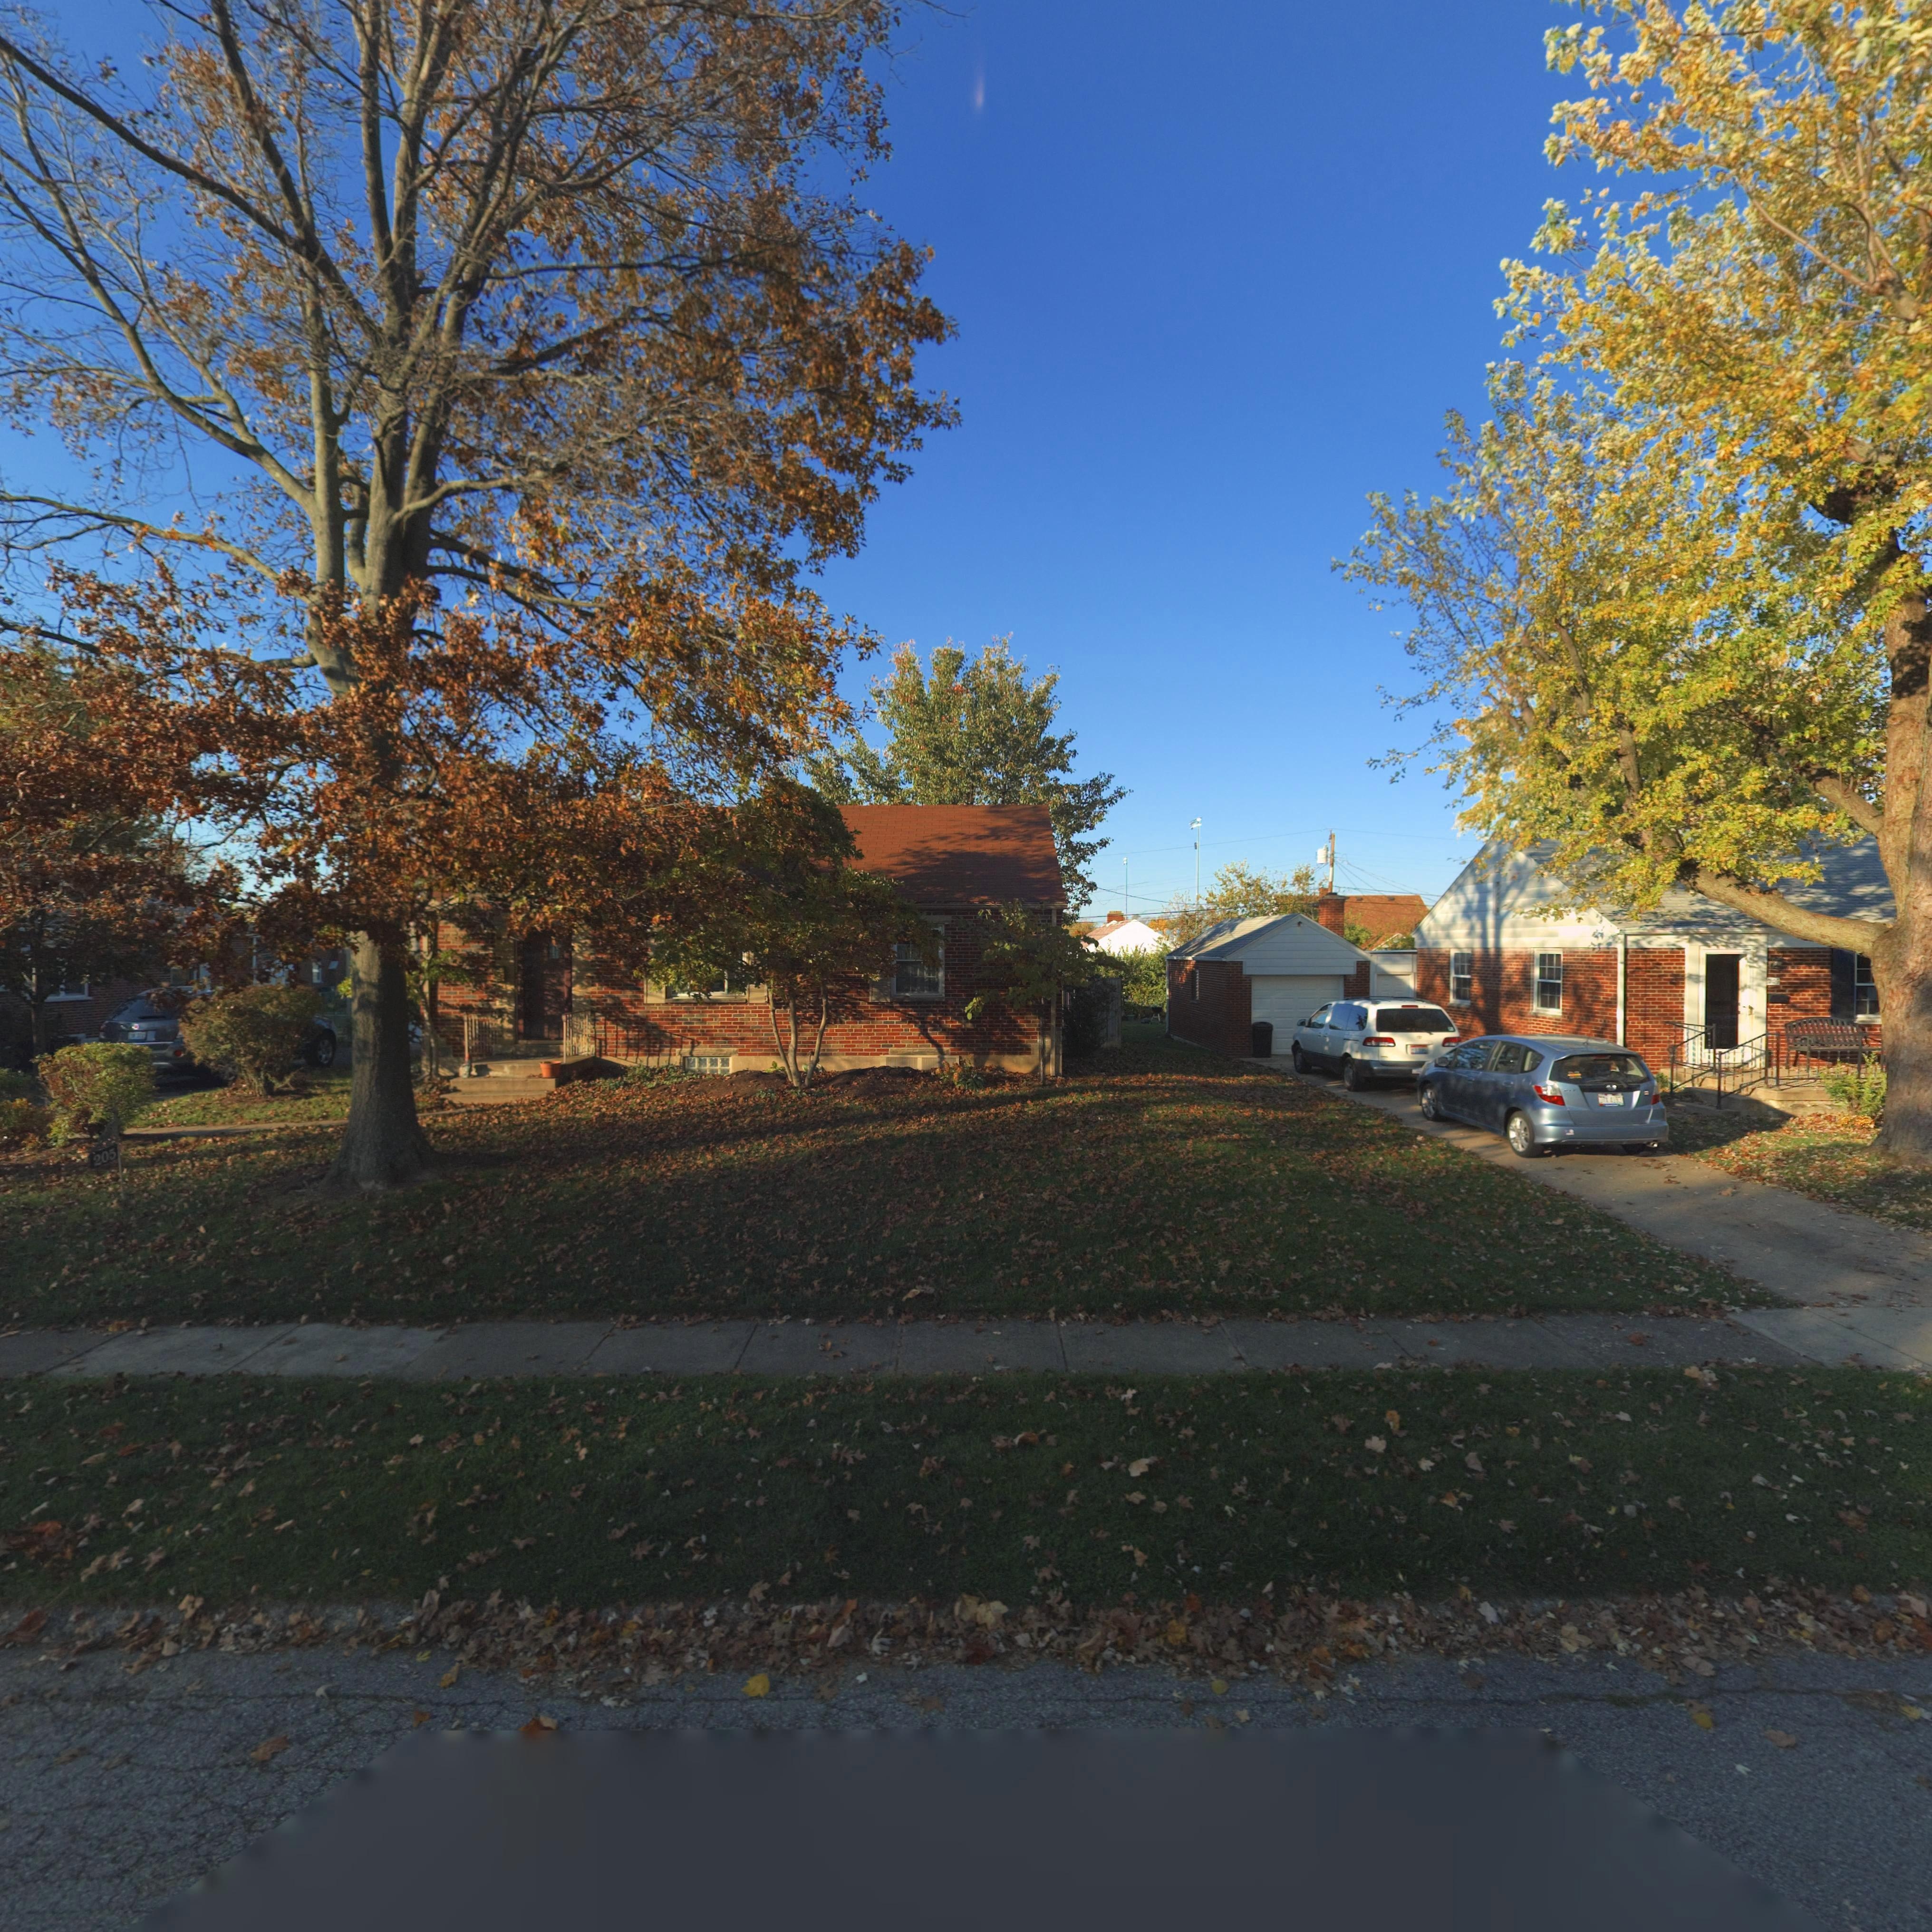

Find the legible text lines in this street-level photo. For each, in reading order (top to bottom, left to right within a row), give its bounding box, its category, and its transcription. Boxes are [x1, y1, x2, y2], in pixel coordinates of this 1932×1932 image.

[1767, 978, 1780, 985] StreetNumber: 209
[93, 1147, 117, 1168] StreetNumber: 205